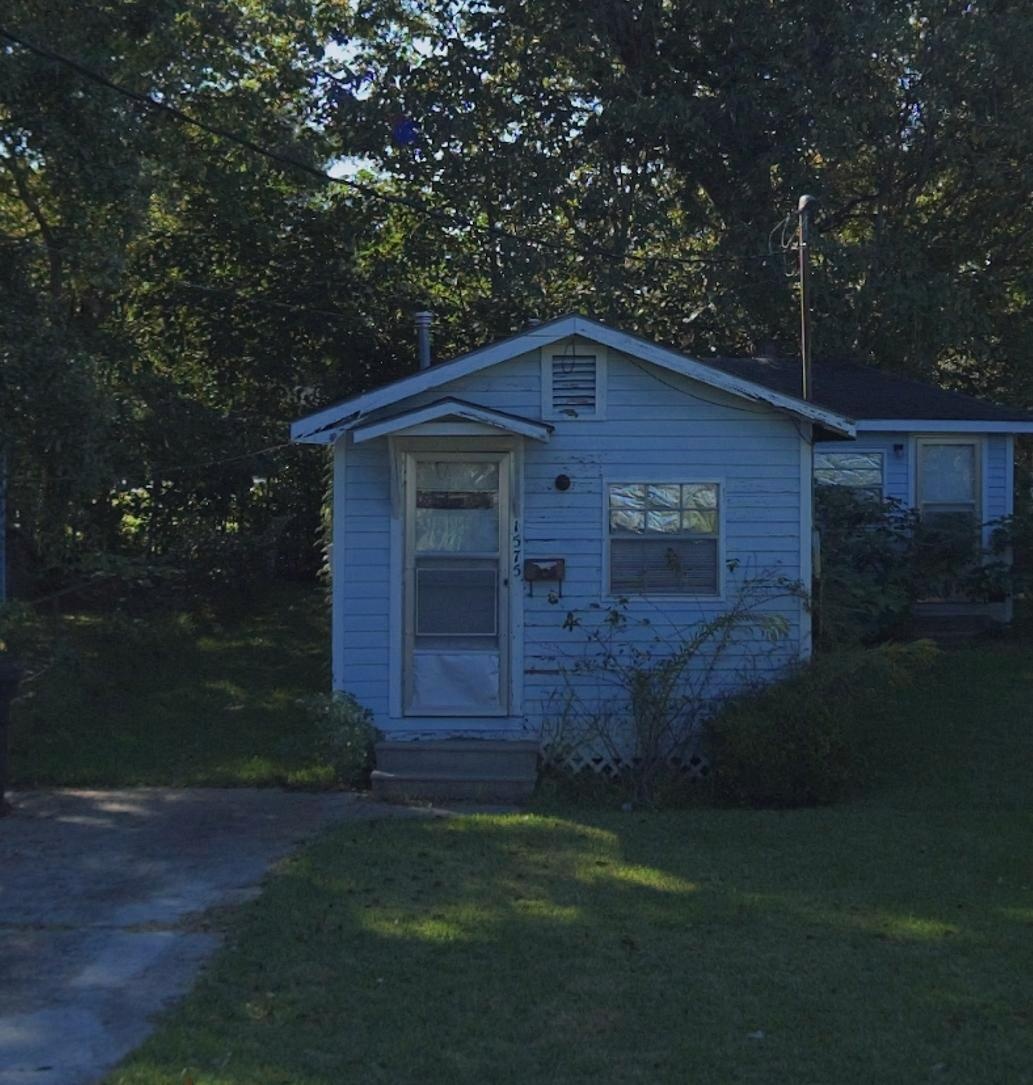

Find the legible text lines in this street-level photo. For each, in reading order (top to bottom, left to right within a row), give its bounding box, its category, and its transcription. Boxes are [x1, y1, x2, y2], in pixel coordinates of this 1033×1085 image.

[510, 518, 523, 579] StreetNumber: 1575